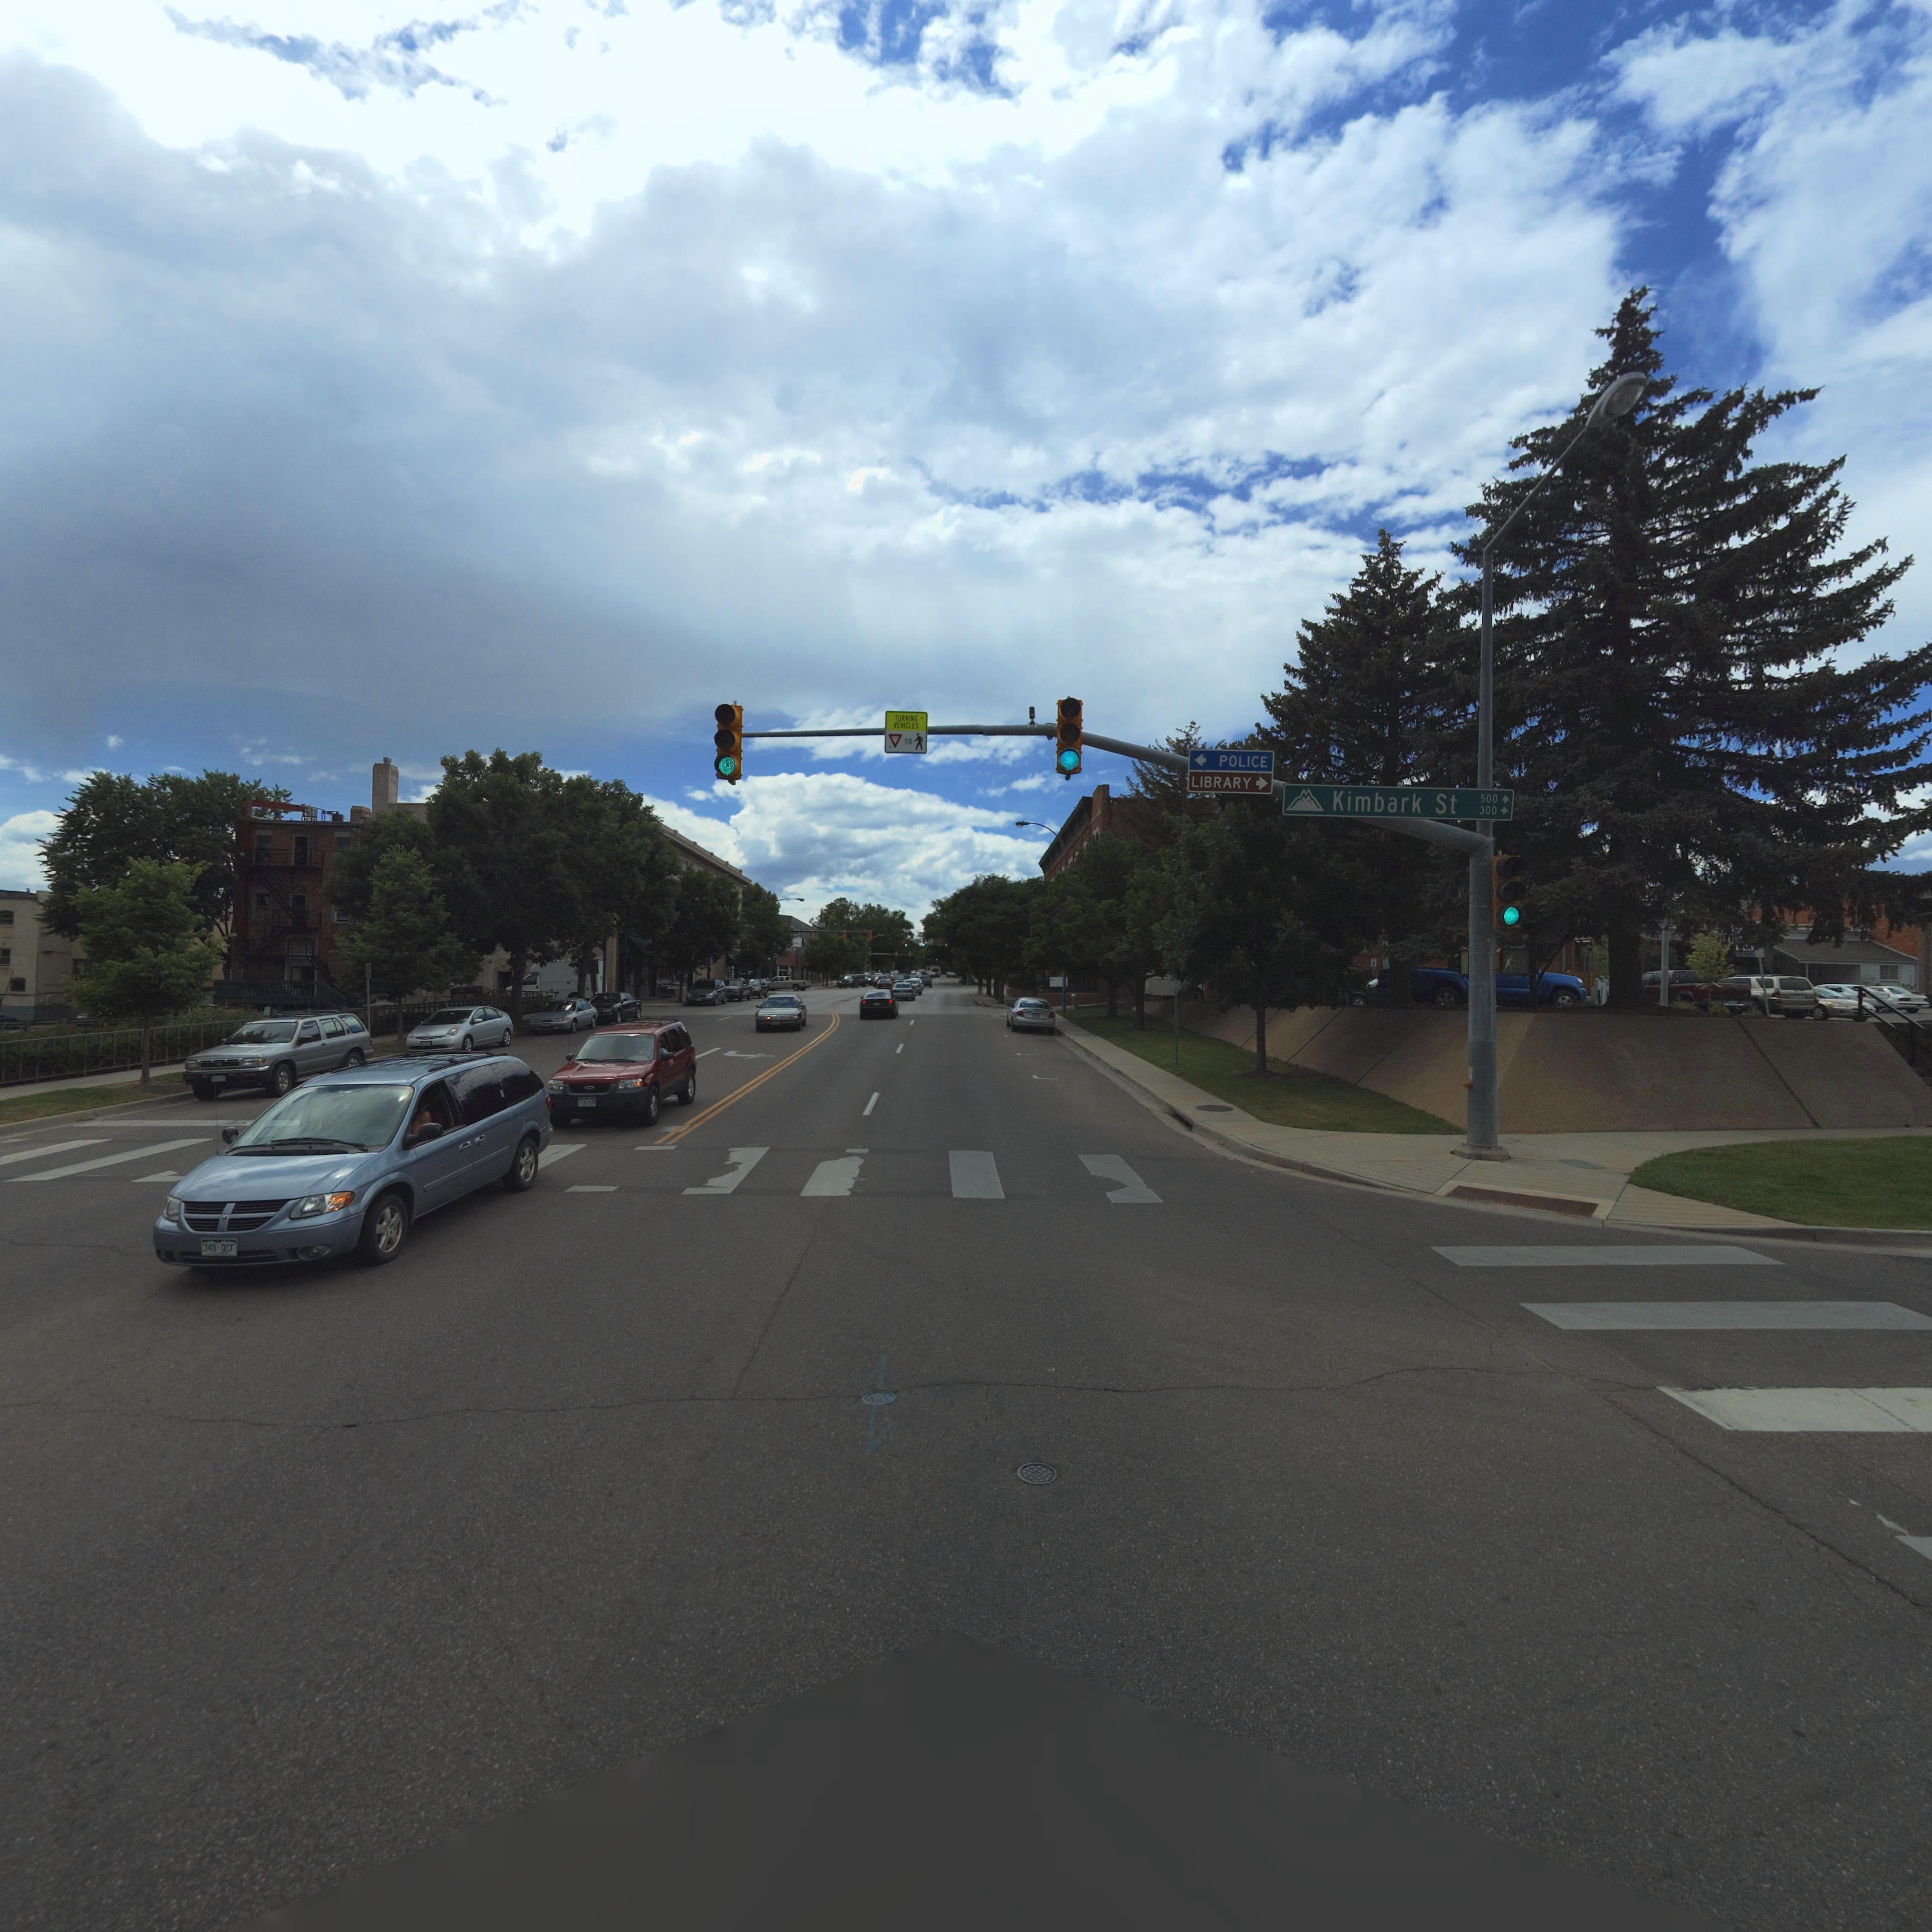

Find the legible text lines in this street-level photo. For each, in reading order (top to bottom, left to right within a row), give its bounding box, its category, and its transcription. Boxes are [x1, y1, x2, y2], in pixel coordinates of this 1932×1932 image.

[1332, 791, 1458, 813] StreetName: Kimbark St
[1480, 793, 1498, 803] StreetNumberRange: 500
[1478, 806, 1509, 815] StreetNumberRange: 300->